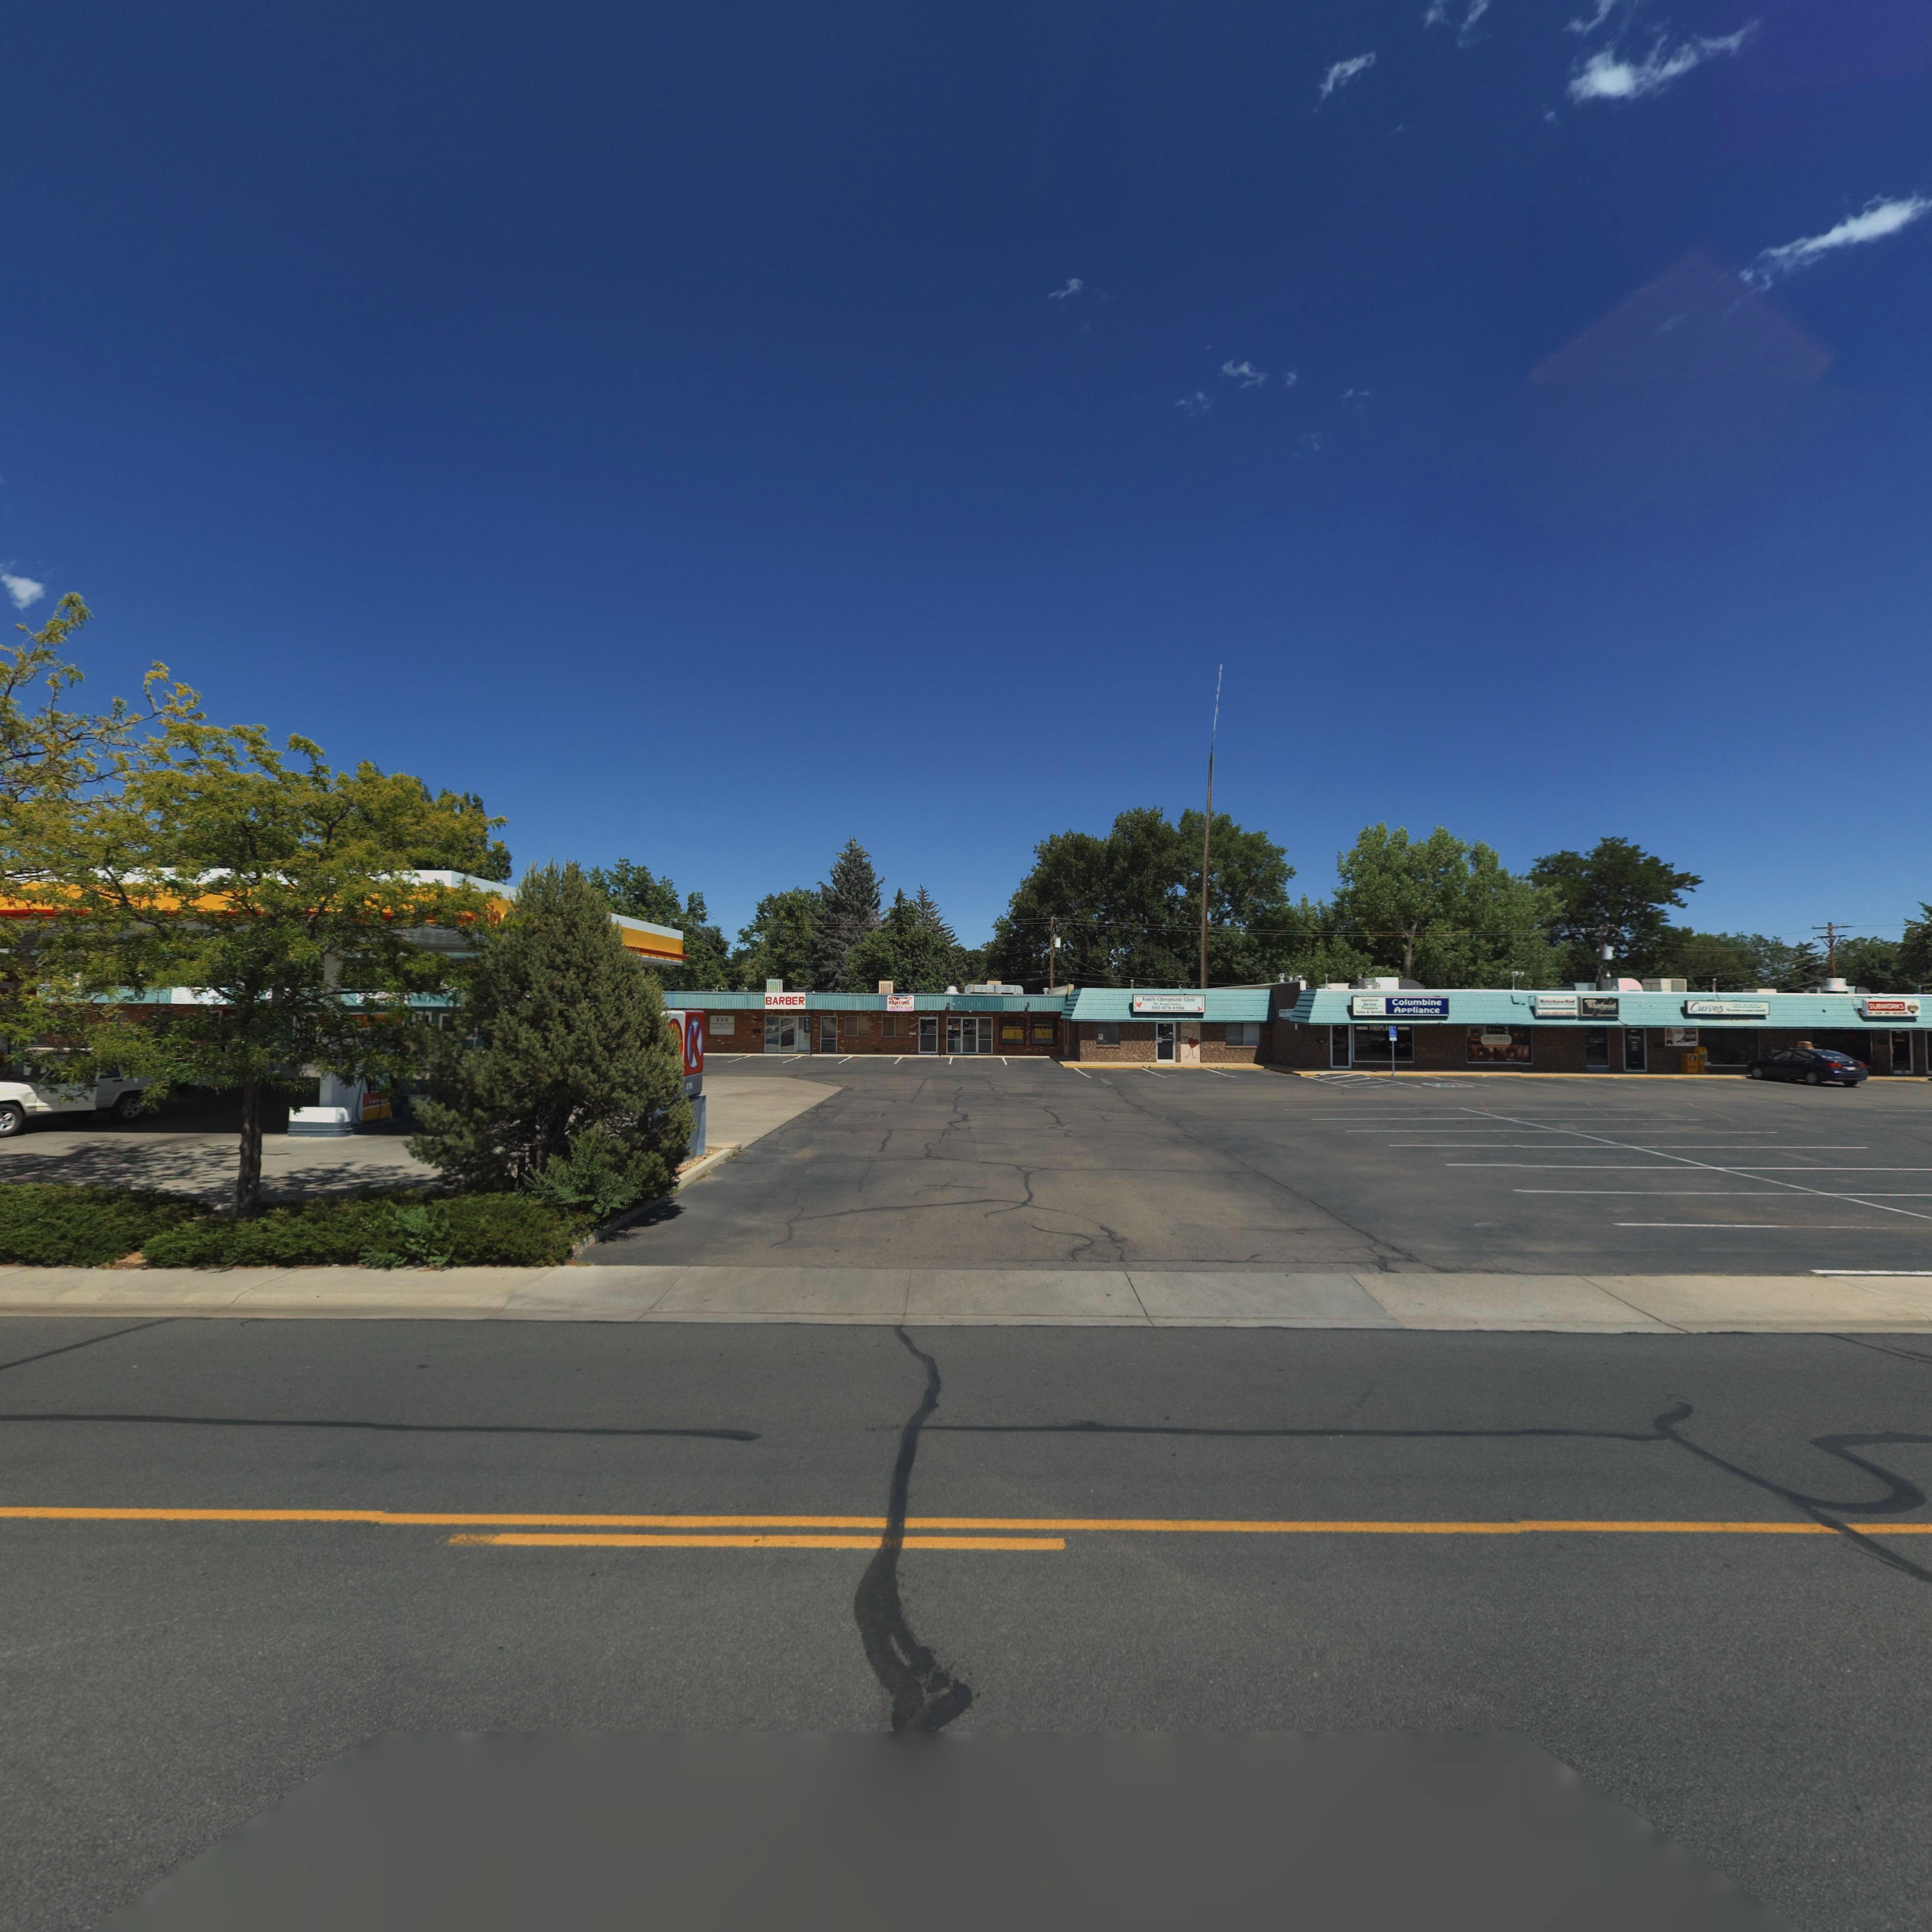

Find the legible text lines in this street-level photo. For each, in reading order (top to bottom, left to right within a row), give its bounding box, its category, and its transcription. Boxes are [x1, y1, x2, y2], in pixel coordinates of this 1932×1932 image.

[1142, 996, 1196, 1002] BusinessName: Family Chiropractic Clinic
[1391, 998, 1443, 1005] BusinessName: Columbine
[1868, 1003, 1904, 1009] BusinessName: SUBWORKS
[1393, 1006, 1440, 1014] BusinessName: Appliance
[715, 1017, 730, 1022] BusinessName: TAX
[710, 1022, 734, 1025] BusinessName: con****
[1627, 1034, 1641, 1040] BusinessName: C***